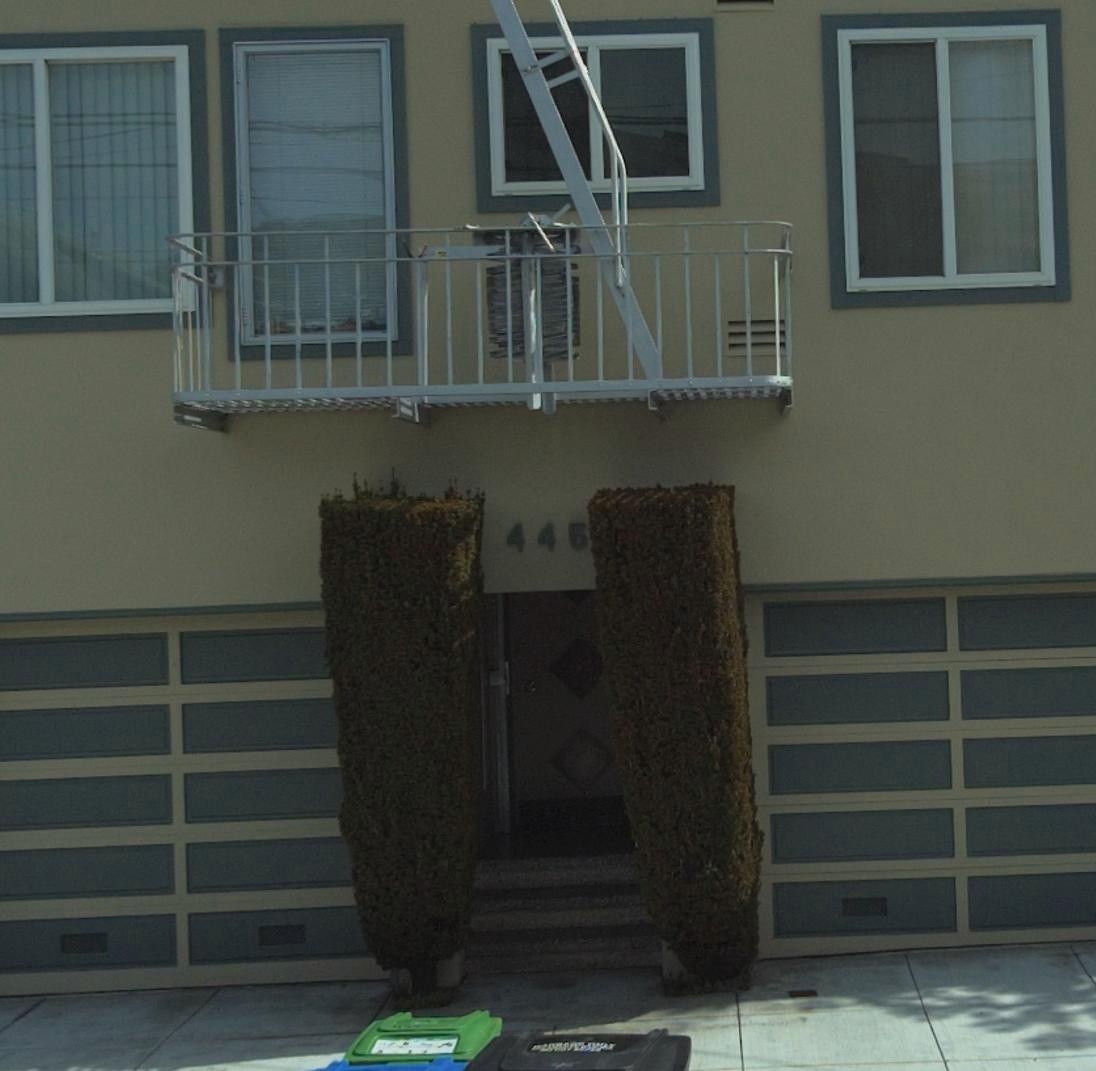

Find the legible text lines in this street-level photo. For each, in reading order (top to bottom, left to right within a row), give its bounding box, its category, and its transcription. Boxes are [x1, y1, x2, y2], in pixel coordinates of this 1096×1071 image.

[505, 520, 589, 554] StreetNumber: 445